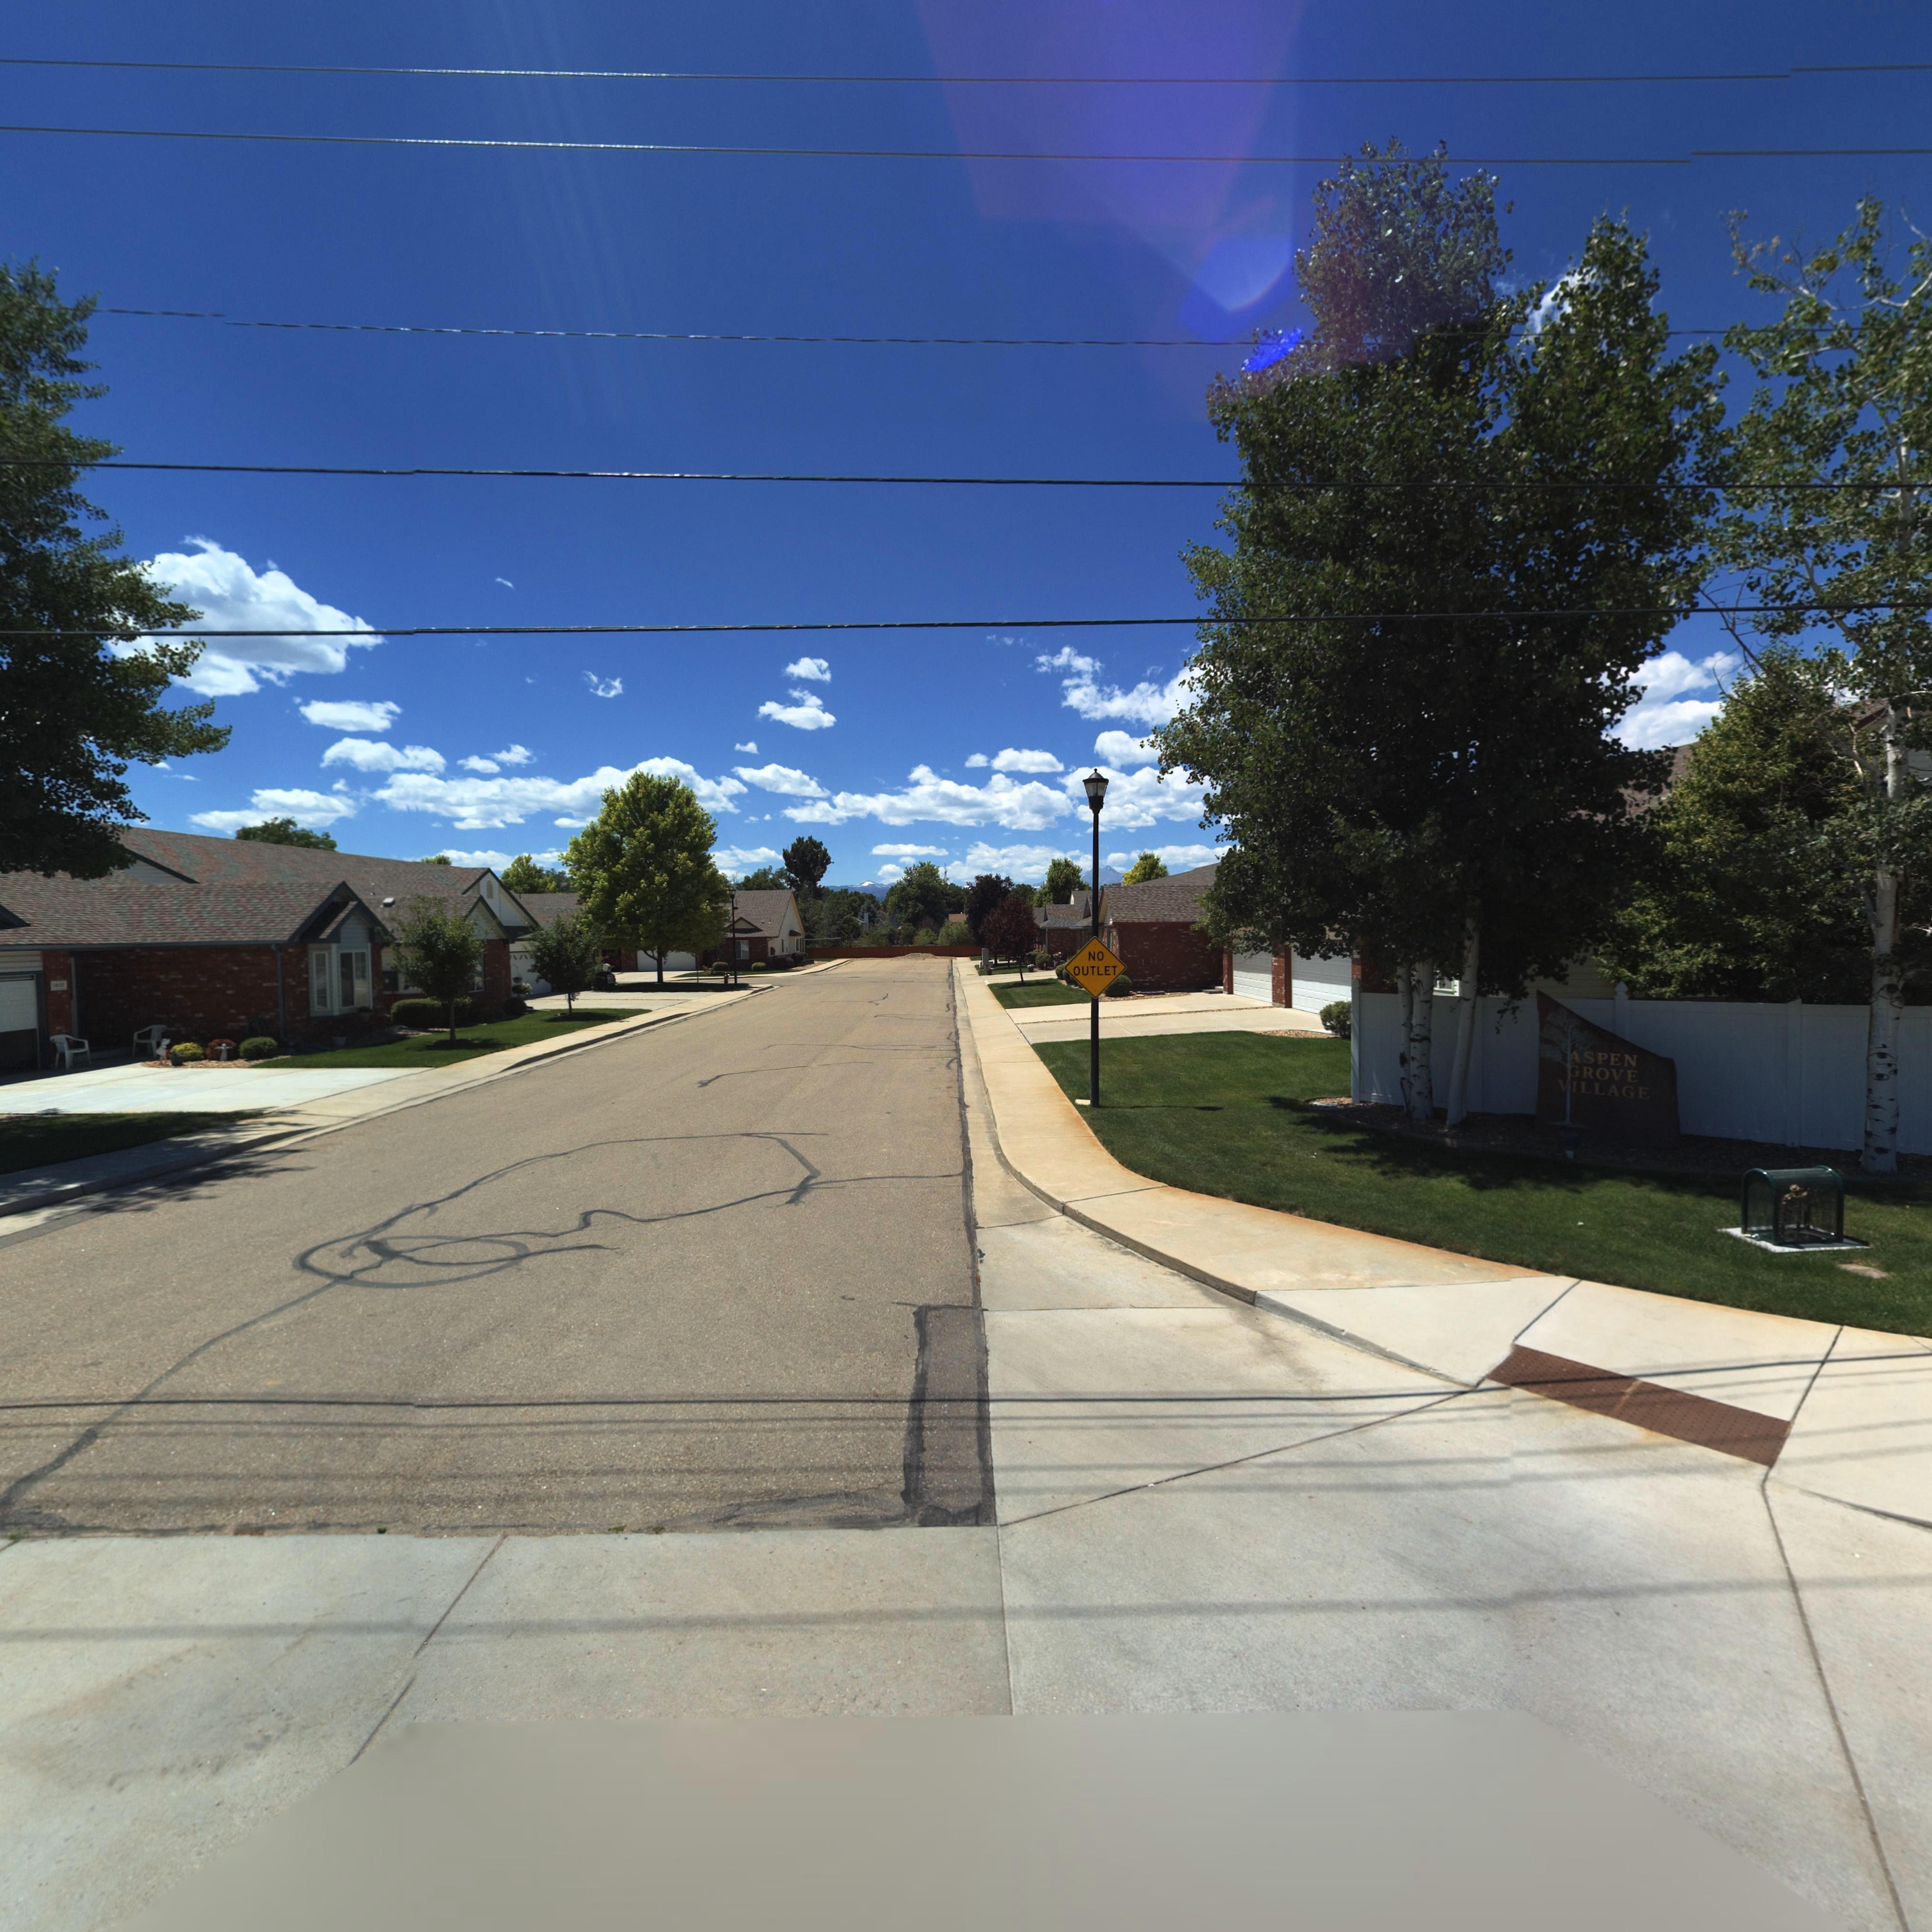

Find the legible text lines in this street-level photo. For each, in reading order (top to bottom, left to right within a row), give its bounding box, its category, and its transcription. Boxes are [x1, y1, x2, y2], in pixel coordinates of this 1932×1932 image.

[1568, 1050, 1638, 1067] BusinessName: Aspen
[1566, 1063, 1640, 1083] BusinessName: Grove
[1556, 1079, 1651, 1100] BusinessName: Village 